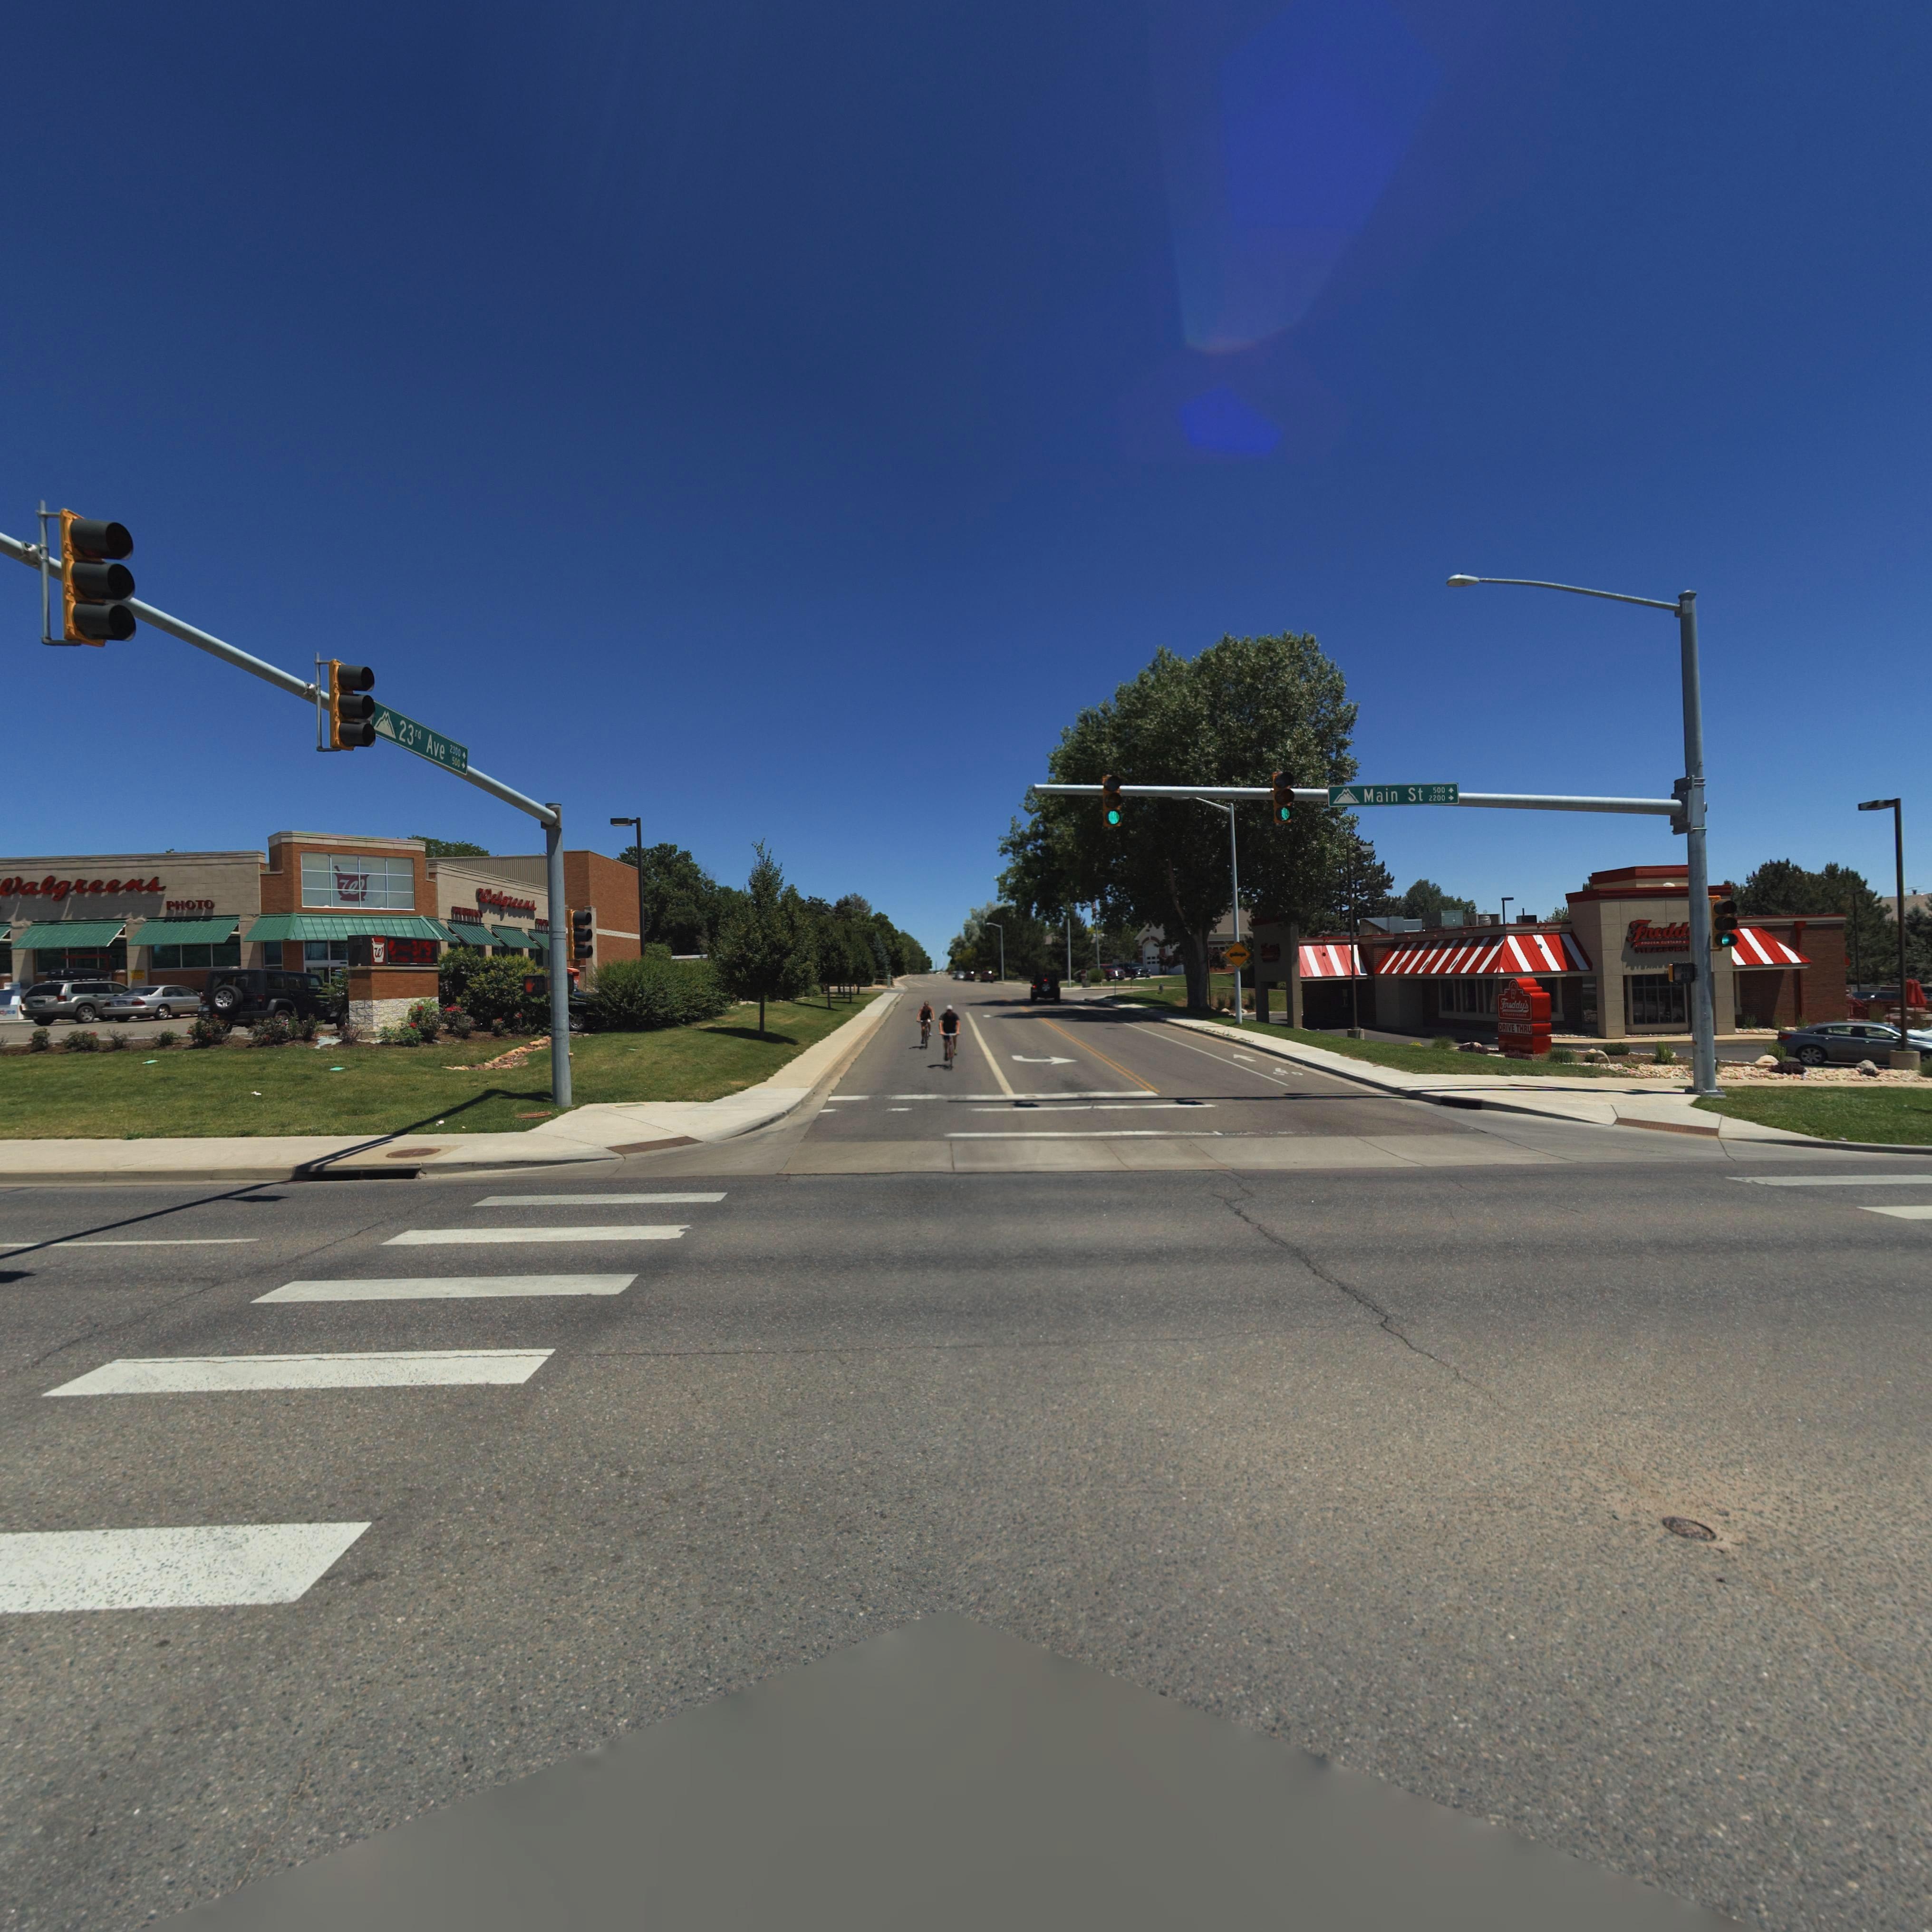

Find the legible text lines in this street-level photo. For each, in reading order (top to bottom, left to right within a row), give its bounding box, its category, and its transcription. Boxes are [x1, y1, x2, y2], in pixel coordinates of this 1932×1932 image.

[398, 719, 445, 760] StreetName: 23rd Ave
[449, 744, 461, 757] StreetNumberRange: 2300
[451, 755, 466, 769] StreetNumberRange: 500->
[1363, 786, 1423, 802] StreetName: Main St
[1432, 786, 1445, 793] StreetNumberRange: 500
[1428, 794, 1455, 801] StreetNumberRange: 2200->
[18, 874, 167, 902] BusinessName: algreens
[477, 887, 538, 912] BusinessName: Walgreens
[1626, 918, 1690, 942] BusinessName: Fredd
[1633, 945, 1690, 954] BusinessName: ***A*BURG*
[1641, 939, 1686, 945] BusinessName: F*O**N C***ARD *
[1499, 998, 1529, 1013] BusinessName: Freddy's